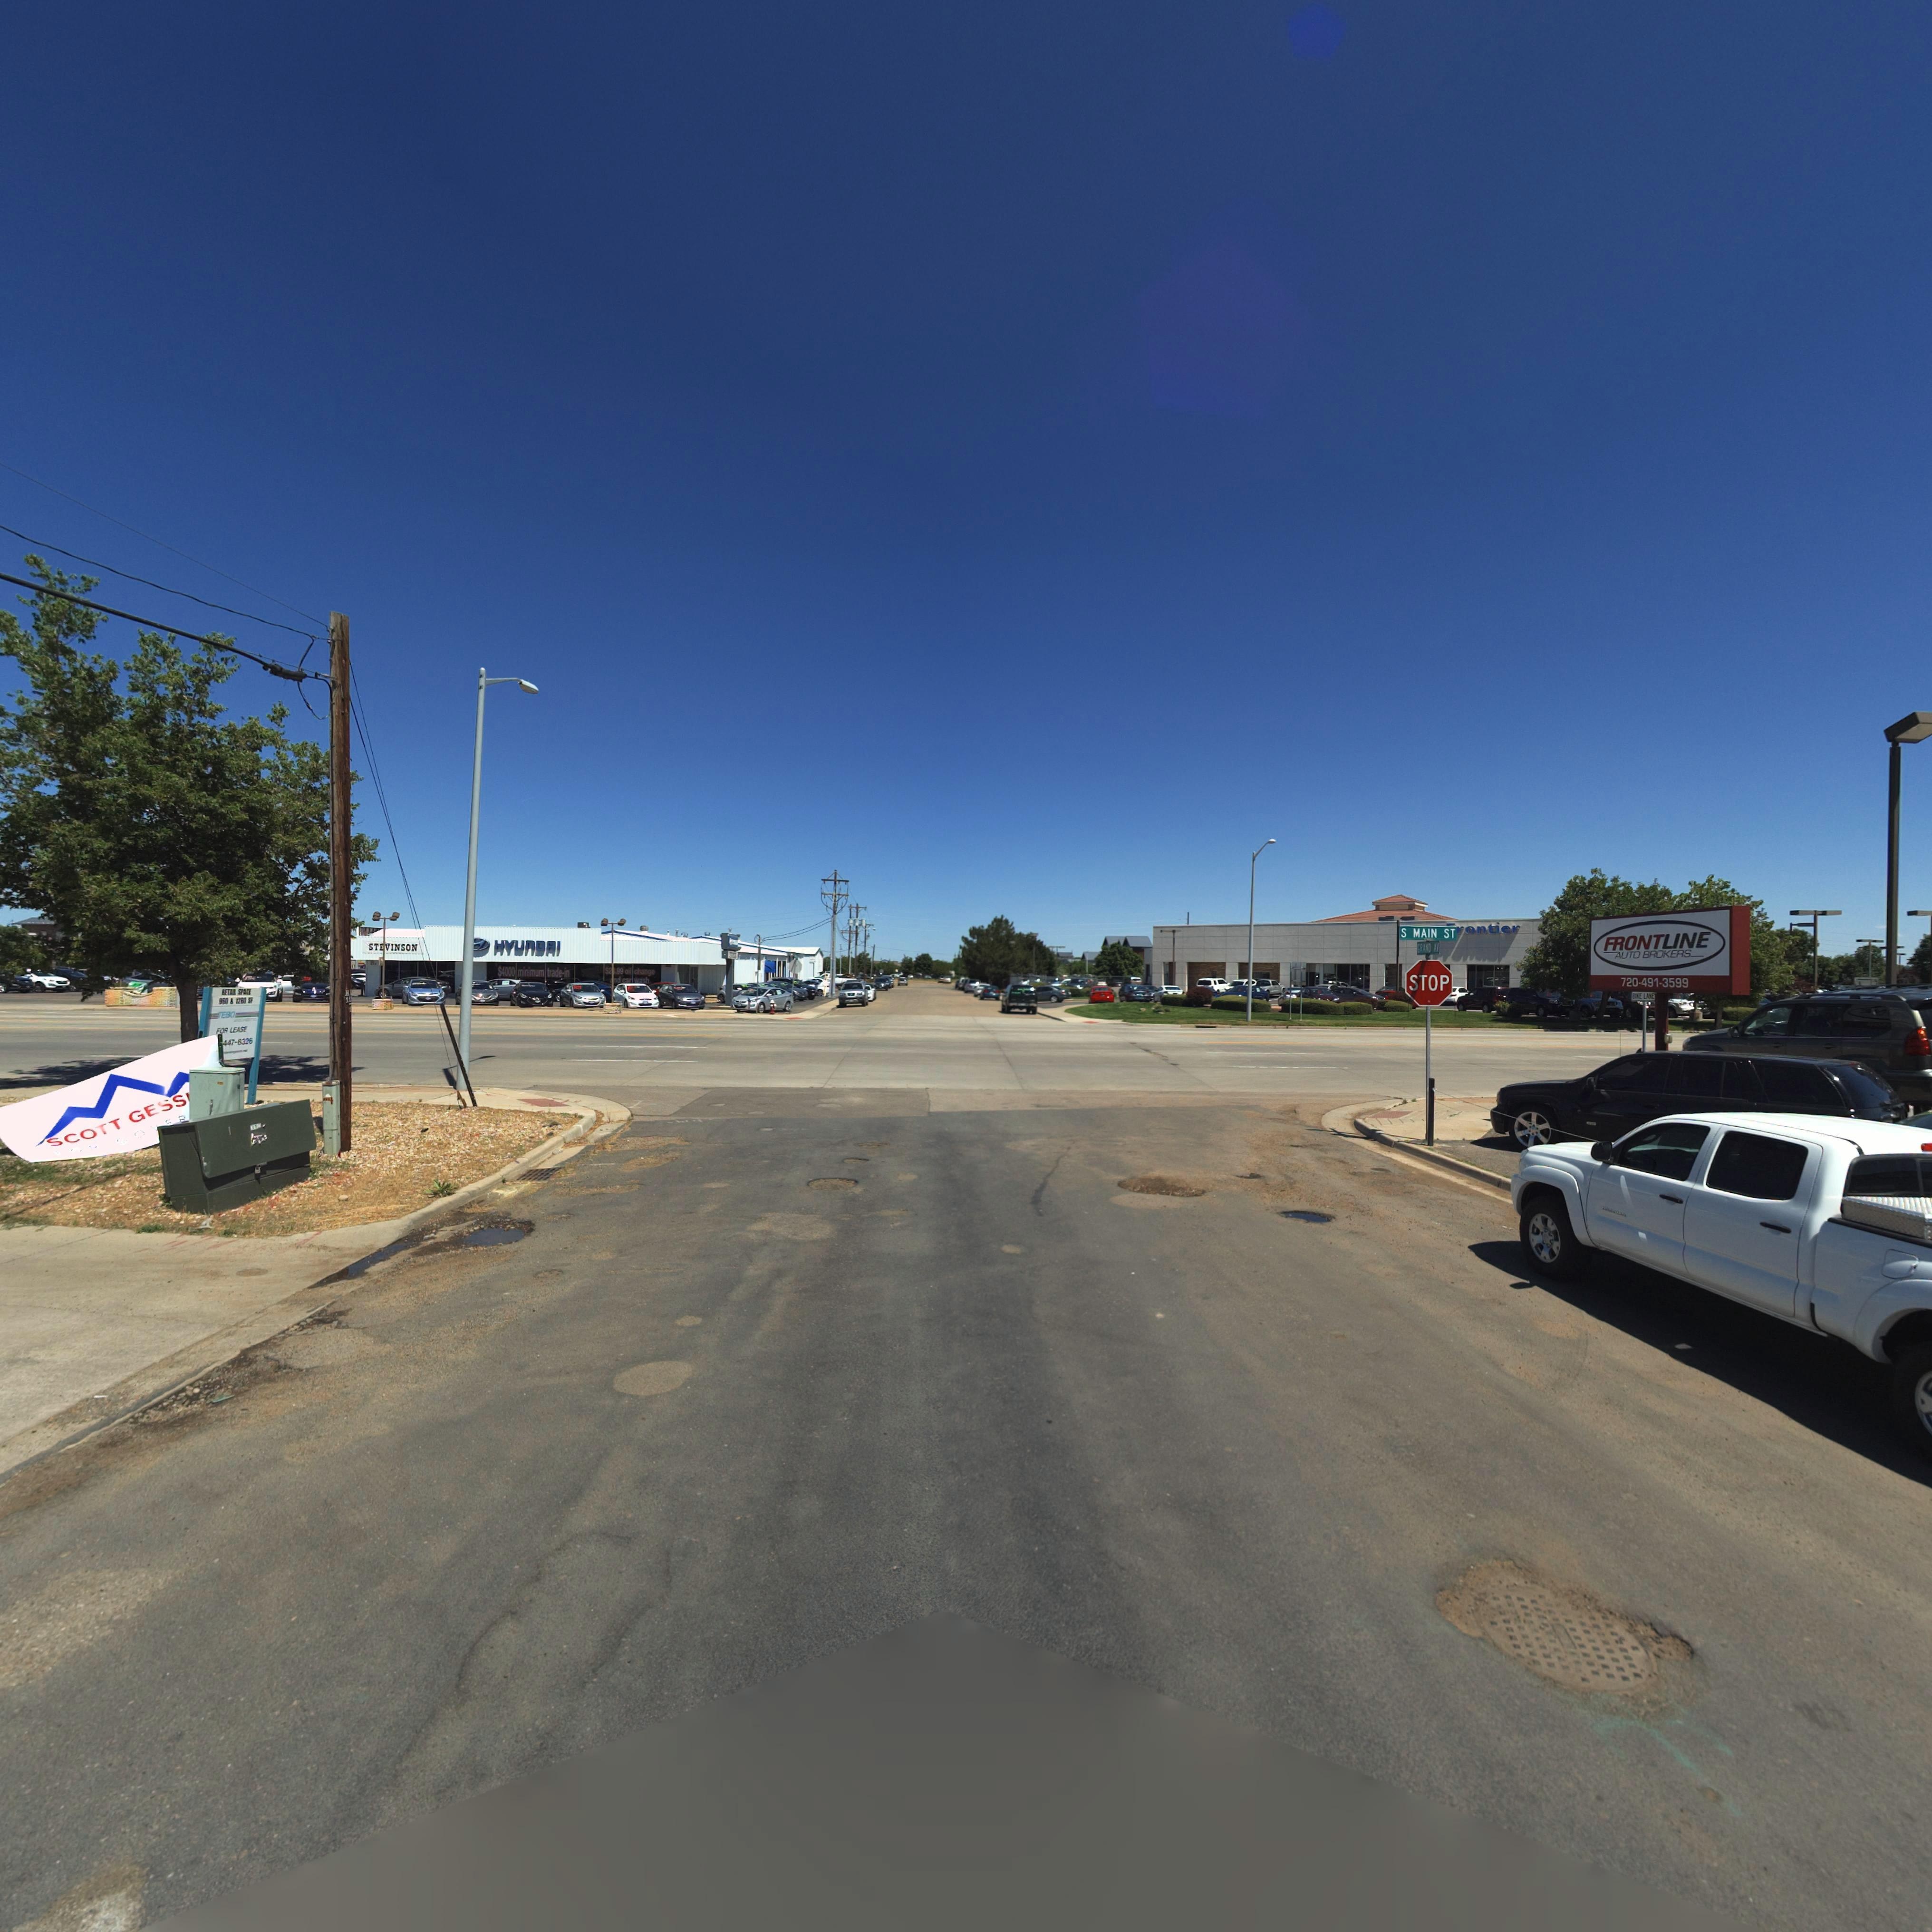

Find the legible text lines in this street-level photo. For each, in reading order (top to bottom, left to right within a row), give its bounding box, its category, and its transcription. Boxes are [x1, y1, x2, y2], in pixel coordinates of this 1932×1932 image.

[1457, 921, 1521, 934] BusinessName: *ontier
[1401, 928, 1456, 939] StreetName: S MAIN ST
[368, 943, 418, 951] BusinessName: ST*VINSON
[494, 939, 561, 951] BusinessName: HYUnDAI
[1416, 942, 1439, 953] StreetName: *RAND AV
[1602, 930, 1711, 951] BusinessName: FRONTLINE
[1613, 949, 1692, 959] BusinessName: AUTO BROKERS